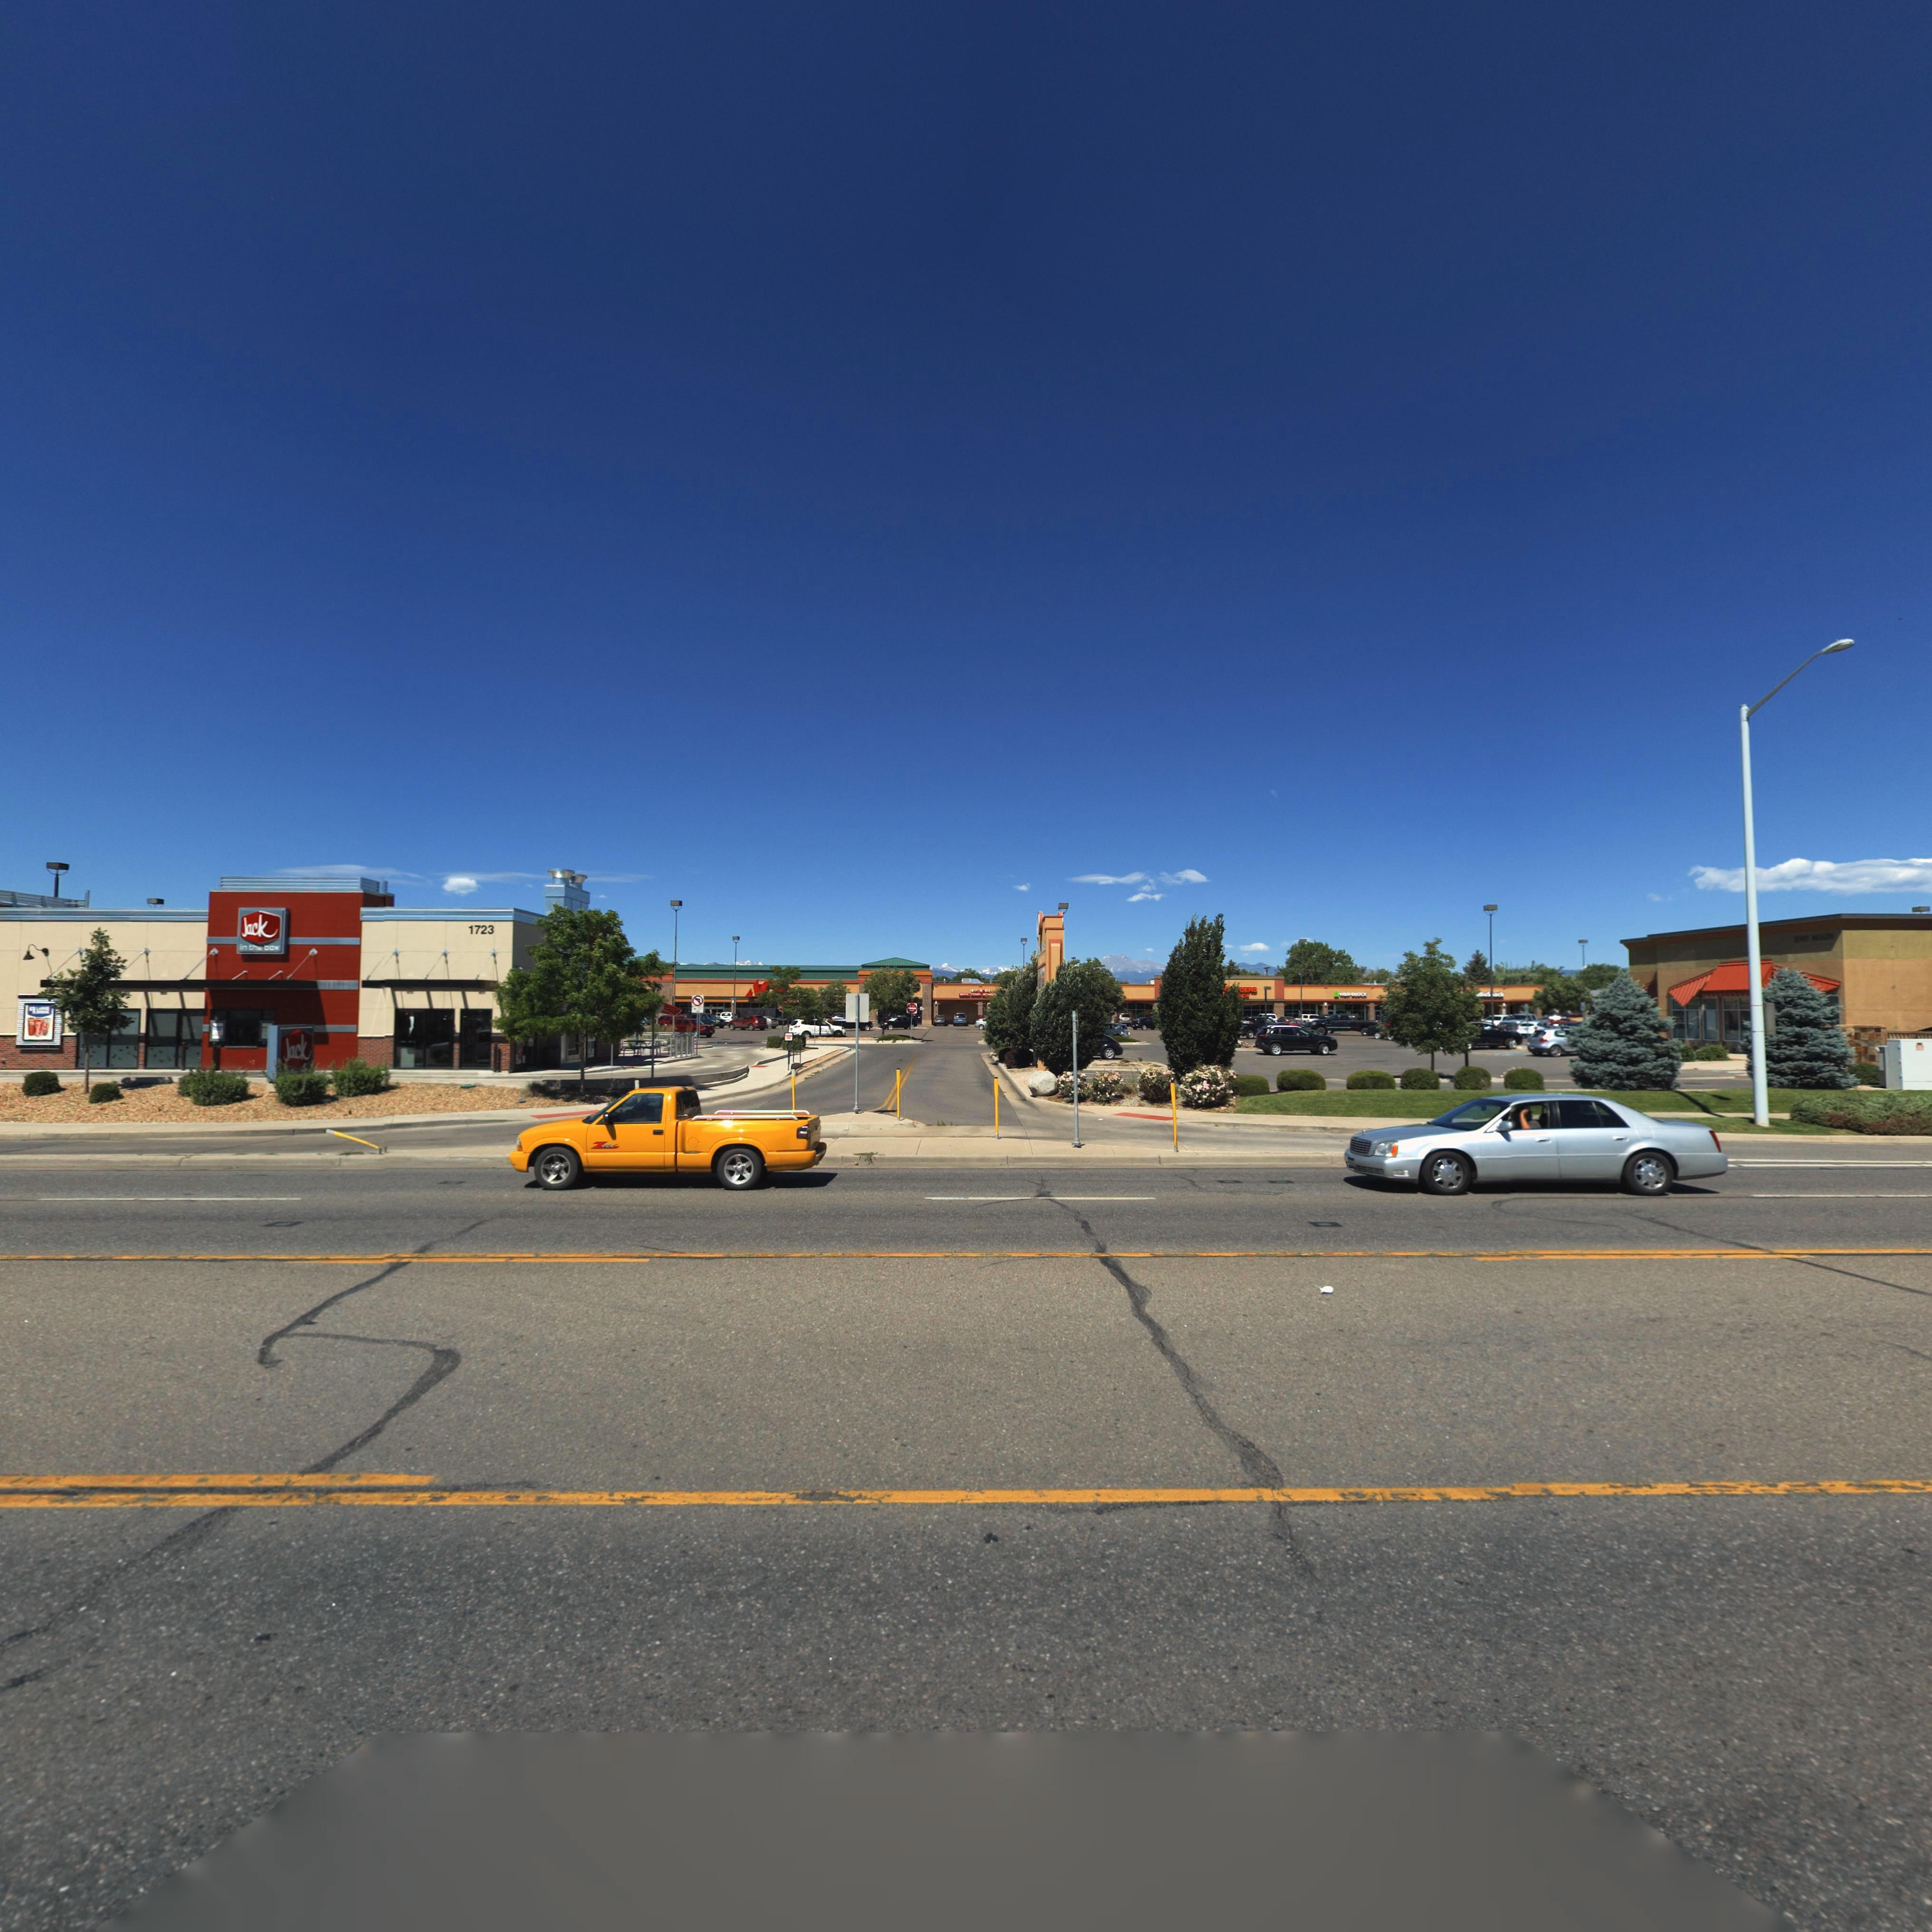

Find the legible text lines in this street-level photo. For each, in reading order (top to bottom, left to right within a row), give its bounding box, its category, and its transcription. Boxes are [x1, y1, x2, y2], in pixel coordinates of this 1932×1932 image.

[241, 913, 278, 938] BusinessName: Jack
[468, 924, 494, 935] StreetNumber: 1723
[239, 944, 280, 950] BusinessName: in the box
[1238, 987, 1257, 993] BusinessName: CERS
[1339, 992, 1368, 996] BusinessName: *** **OCK
[1478, 991, 1504, 996] BusinessName: dio S*ack
[282, 1034, 313, 1063] BusinessName: Jack